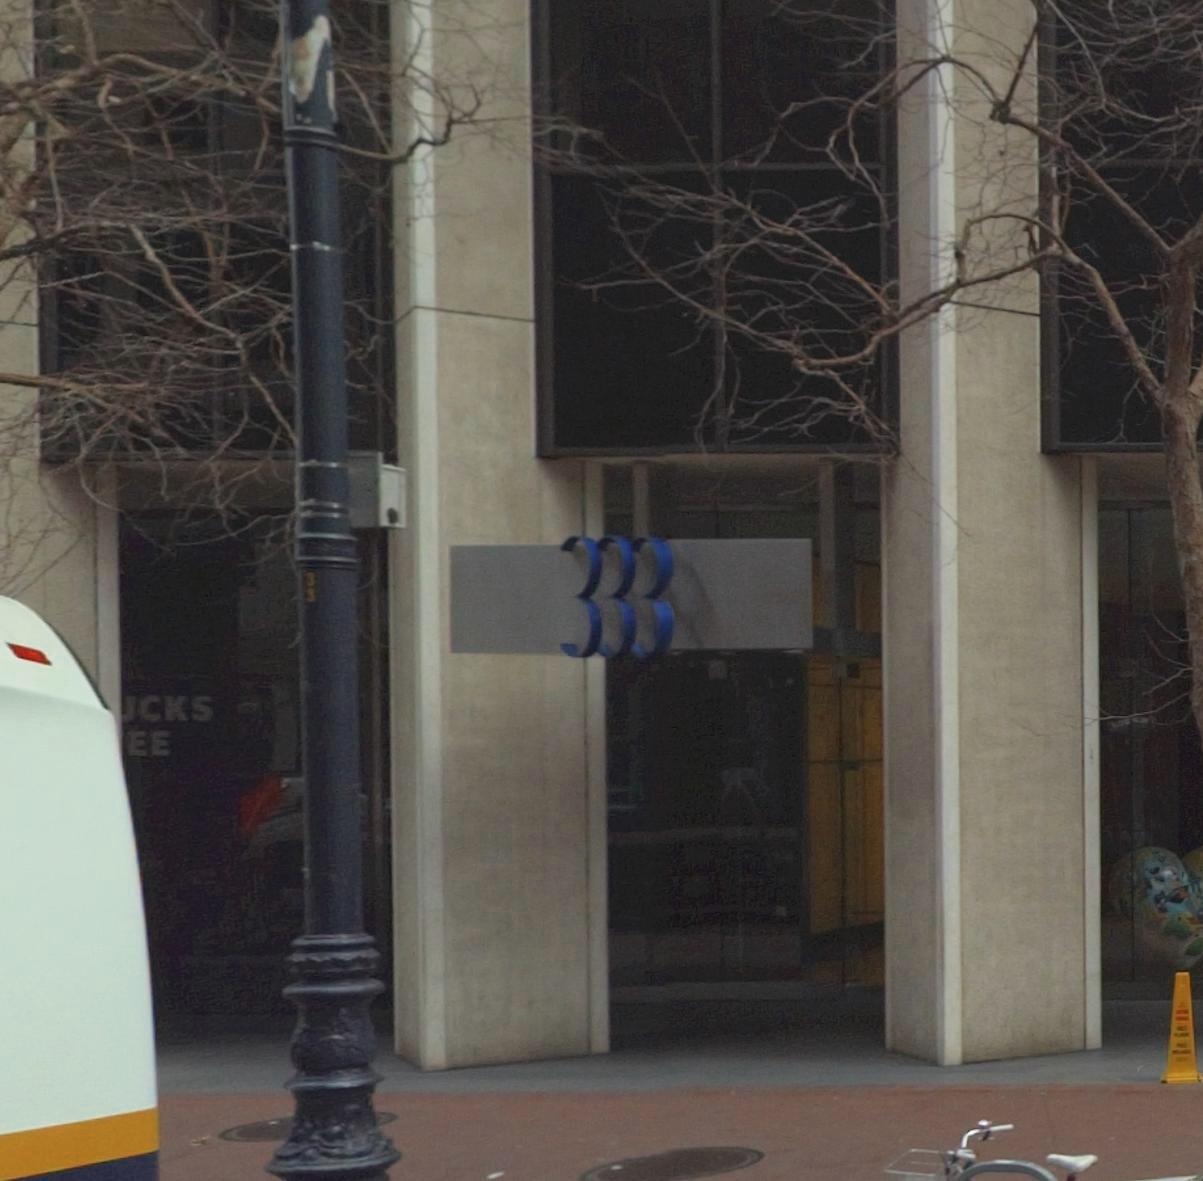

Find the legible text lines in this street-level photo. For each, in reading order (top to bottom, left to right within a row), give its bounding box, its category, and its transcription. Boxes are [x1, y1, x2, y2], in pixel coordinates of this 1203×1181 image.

[555, 529, 684, 667] StreetNumber: 333
[134, 687, 219, 730] BusinessName: CKS
[125, 724, 177, 762] BusinessName: EE